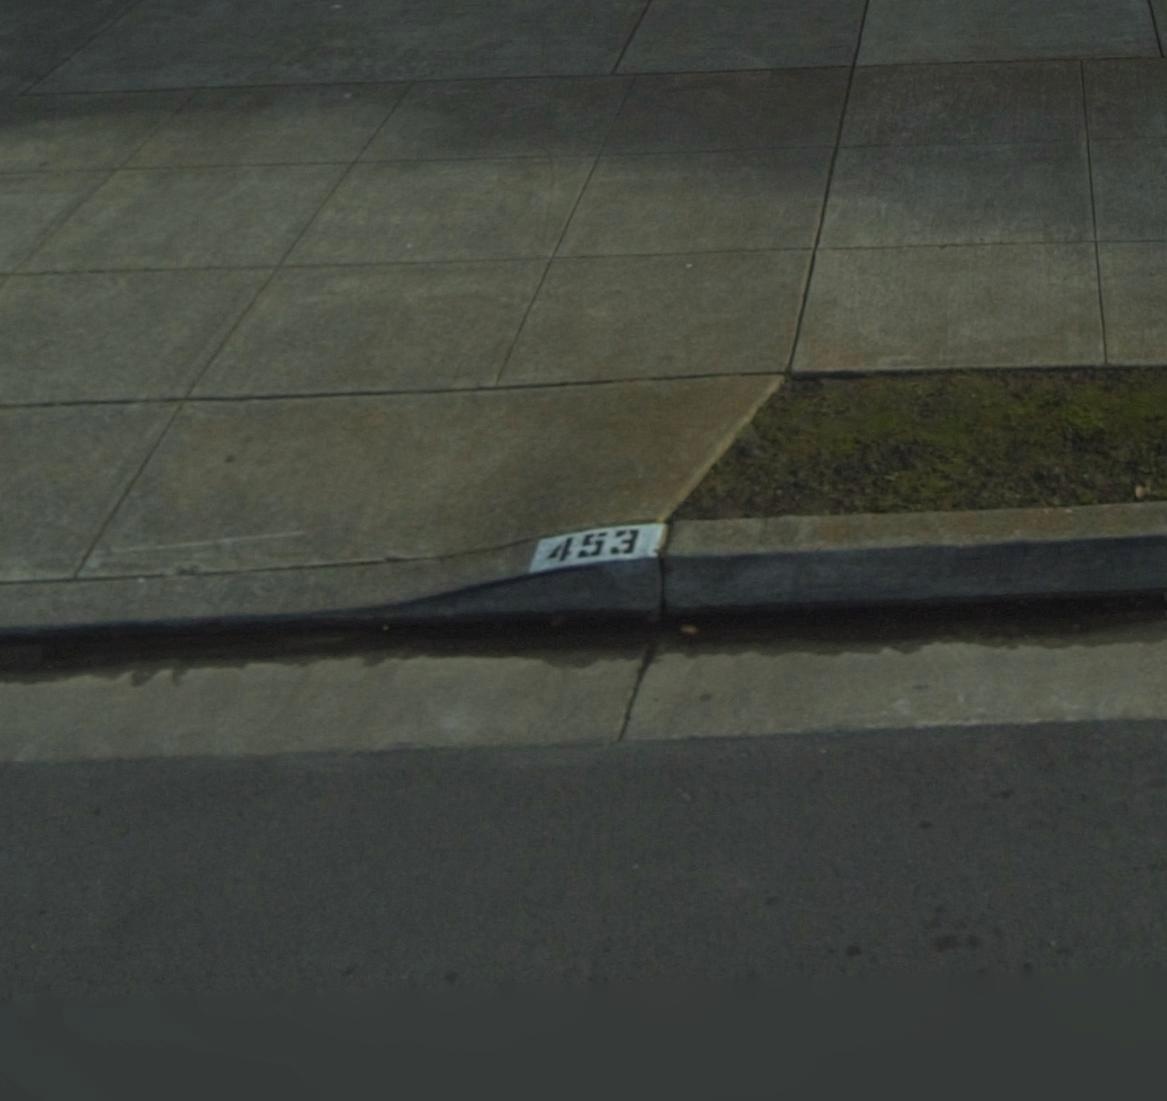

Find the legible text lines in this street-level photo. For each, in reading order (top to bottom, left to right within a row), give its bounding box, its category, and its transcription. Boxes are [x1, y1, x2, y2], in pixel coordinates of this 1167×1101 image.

[537, 522, 644, 564] StreetNumber: 453